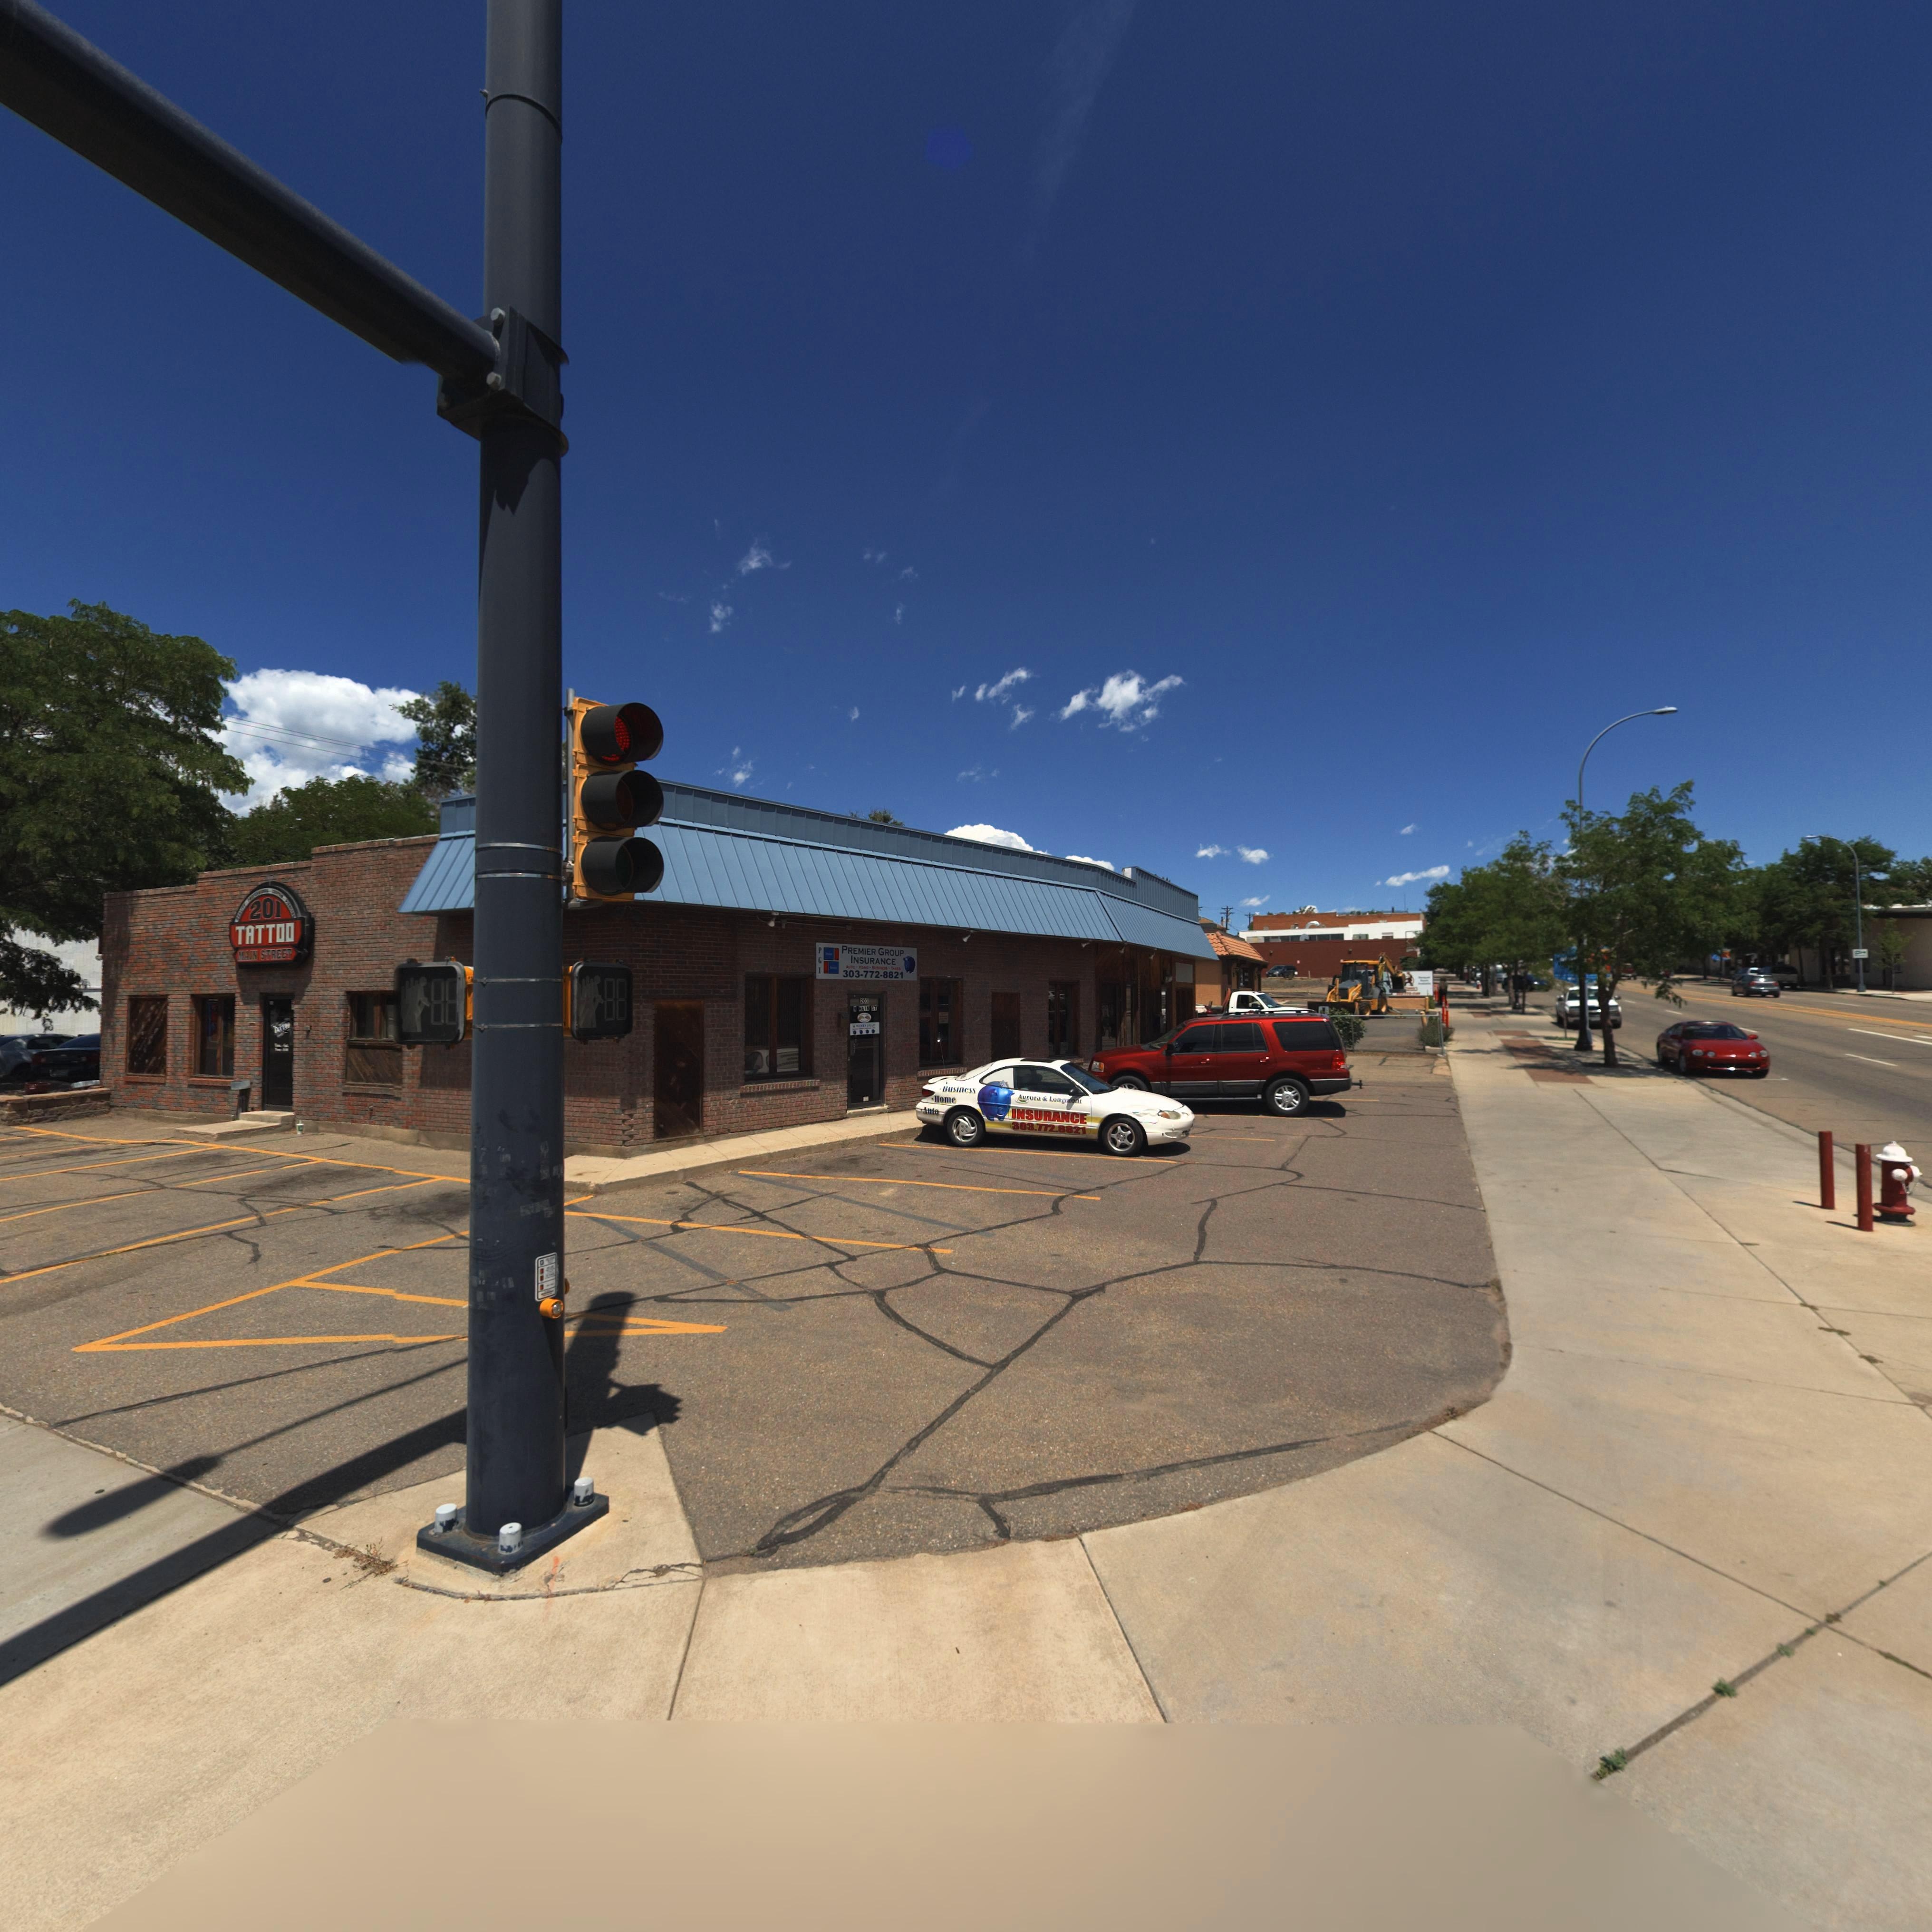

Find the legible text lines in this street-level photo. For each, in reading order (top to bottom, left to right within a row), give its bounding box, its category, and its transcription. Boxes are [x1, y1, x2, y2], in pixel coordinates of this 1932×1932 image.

[248, 897, 282, 920] StreetNumber: 201
[235, 921, 295, 945] BusinessName: TATTOO
[237, 947, 293, 960] BusinessName: MAIN STREET
[841, 945, 904, 956] BusinessName: PREMIER GROUP
[850, 955, 896, 966] BusinessName: INSURANCE
[860, 997, 869, 1003] StreetNumber: 203
[853, 1005, 877, 1012] StreetName: * MAIN ST